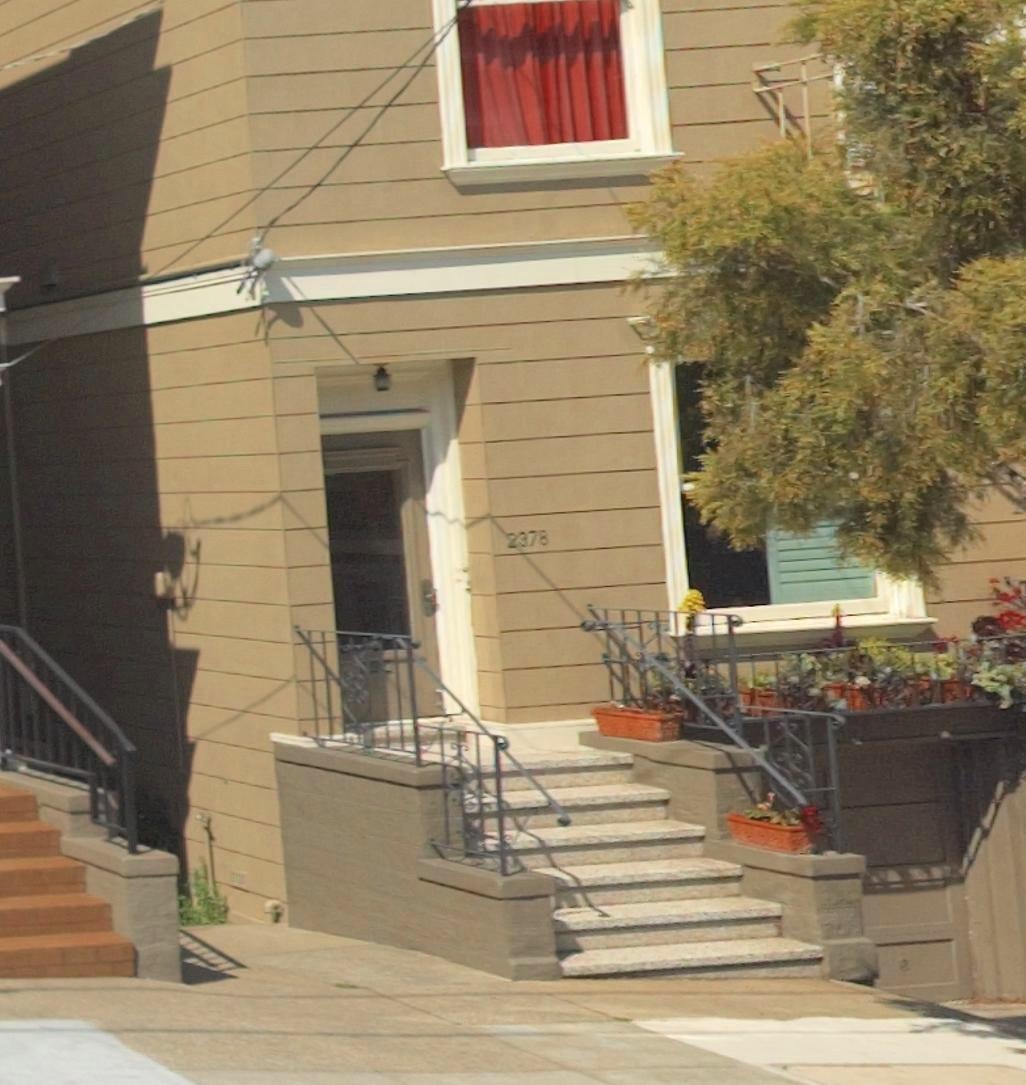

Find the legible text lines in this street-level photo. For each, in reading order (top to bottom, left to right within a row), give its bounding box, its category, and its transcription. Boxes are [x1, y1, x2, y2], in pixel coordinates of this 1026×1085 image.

[505, 529, 550, 549] StreetNumber: 2378